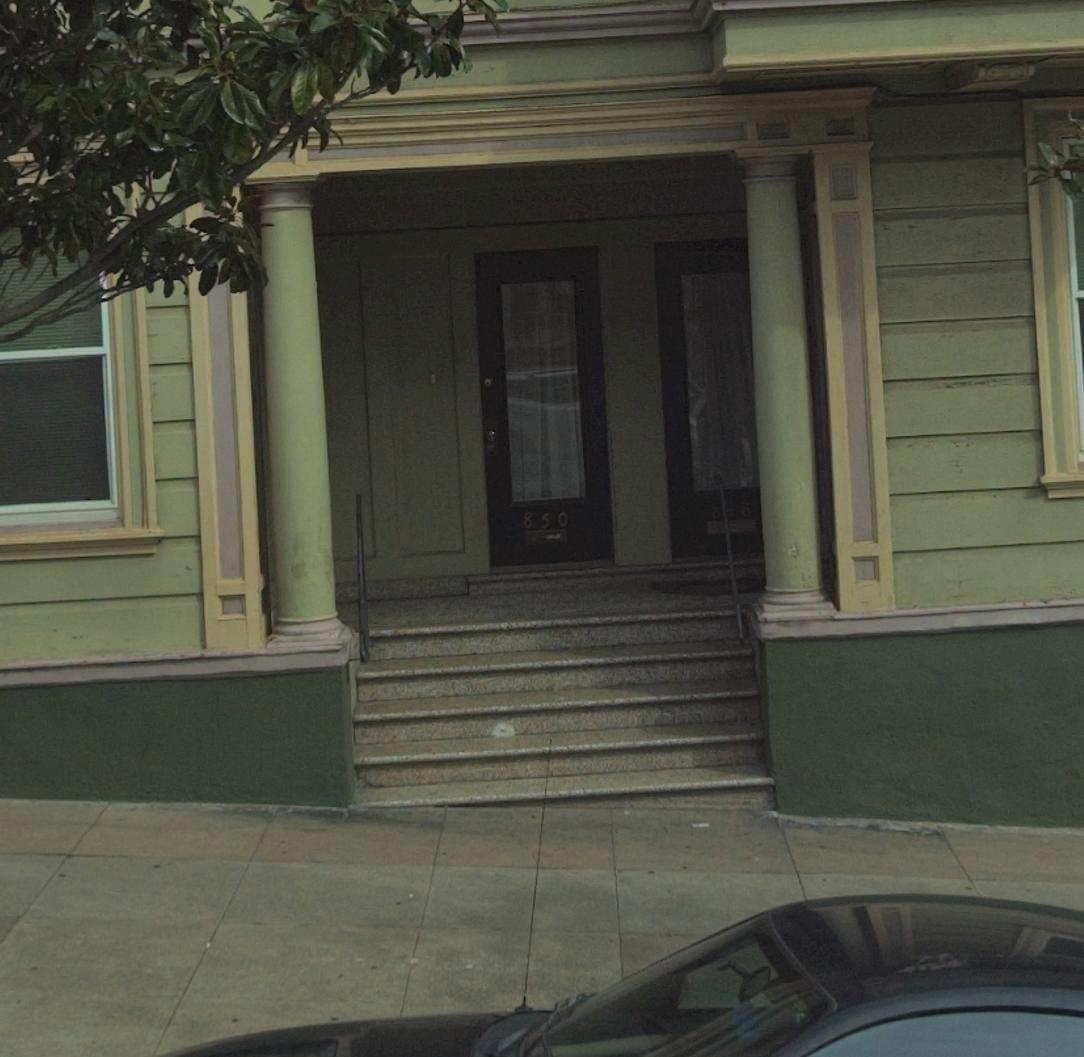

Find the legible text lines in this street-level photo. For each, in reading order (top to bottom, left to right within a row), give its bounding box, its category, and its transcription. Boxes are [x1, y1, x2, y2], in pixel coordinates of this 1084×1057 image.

[710, 501, 751, 518] StreetNumber: 848
[522, 510, 569, 529] StreetNumber: 850